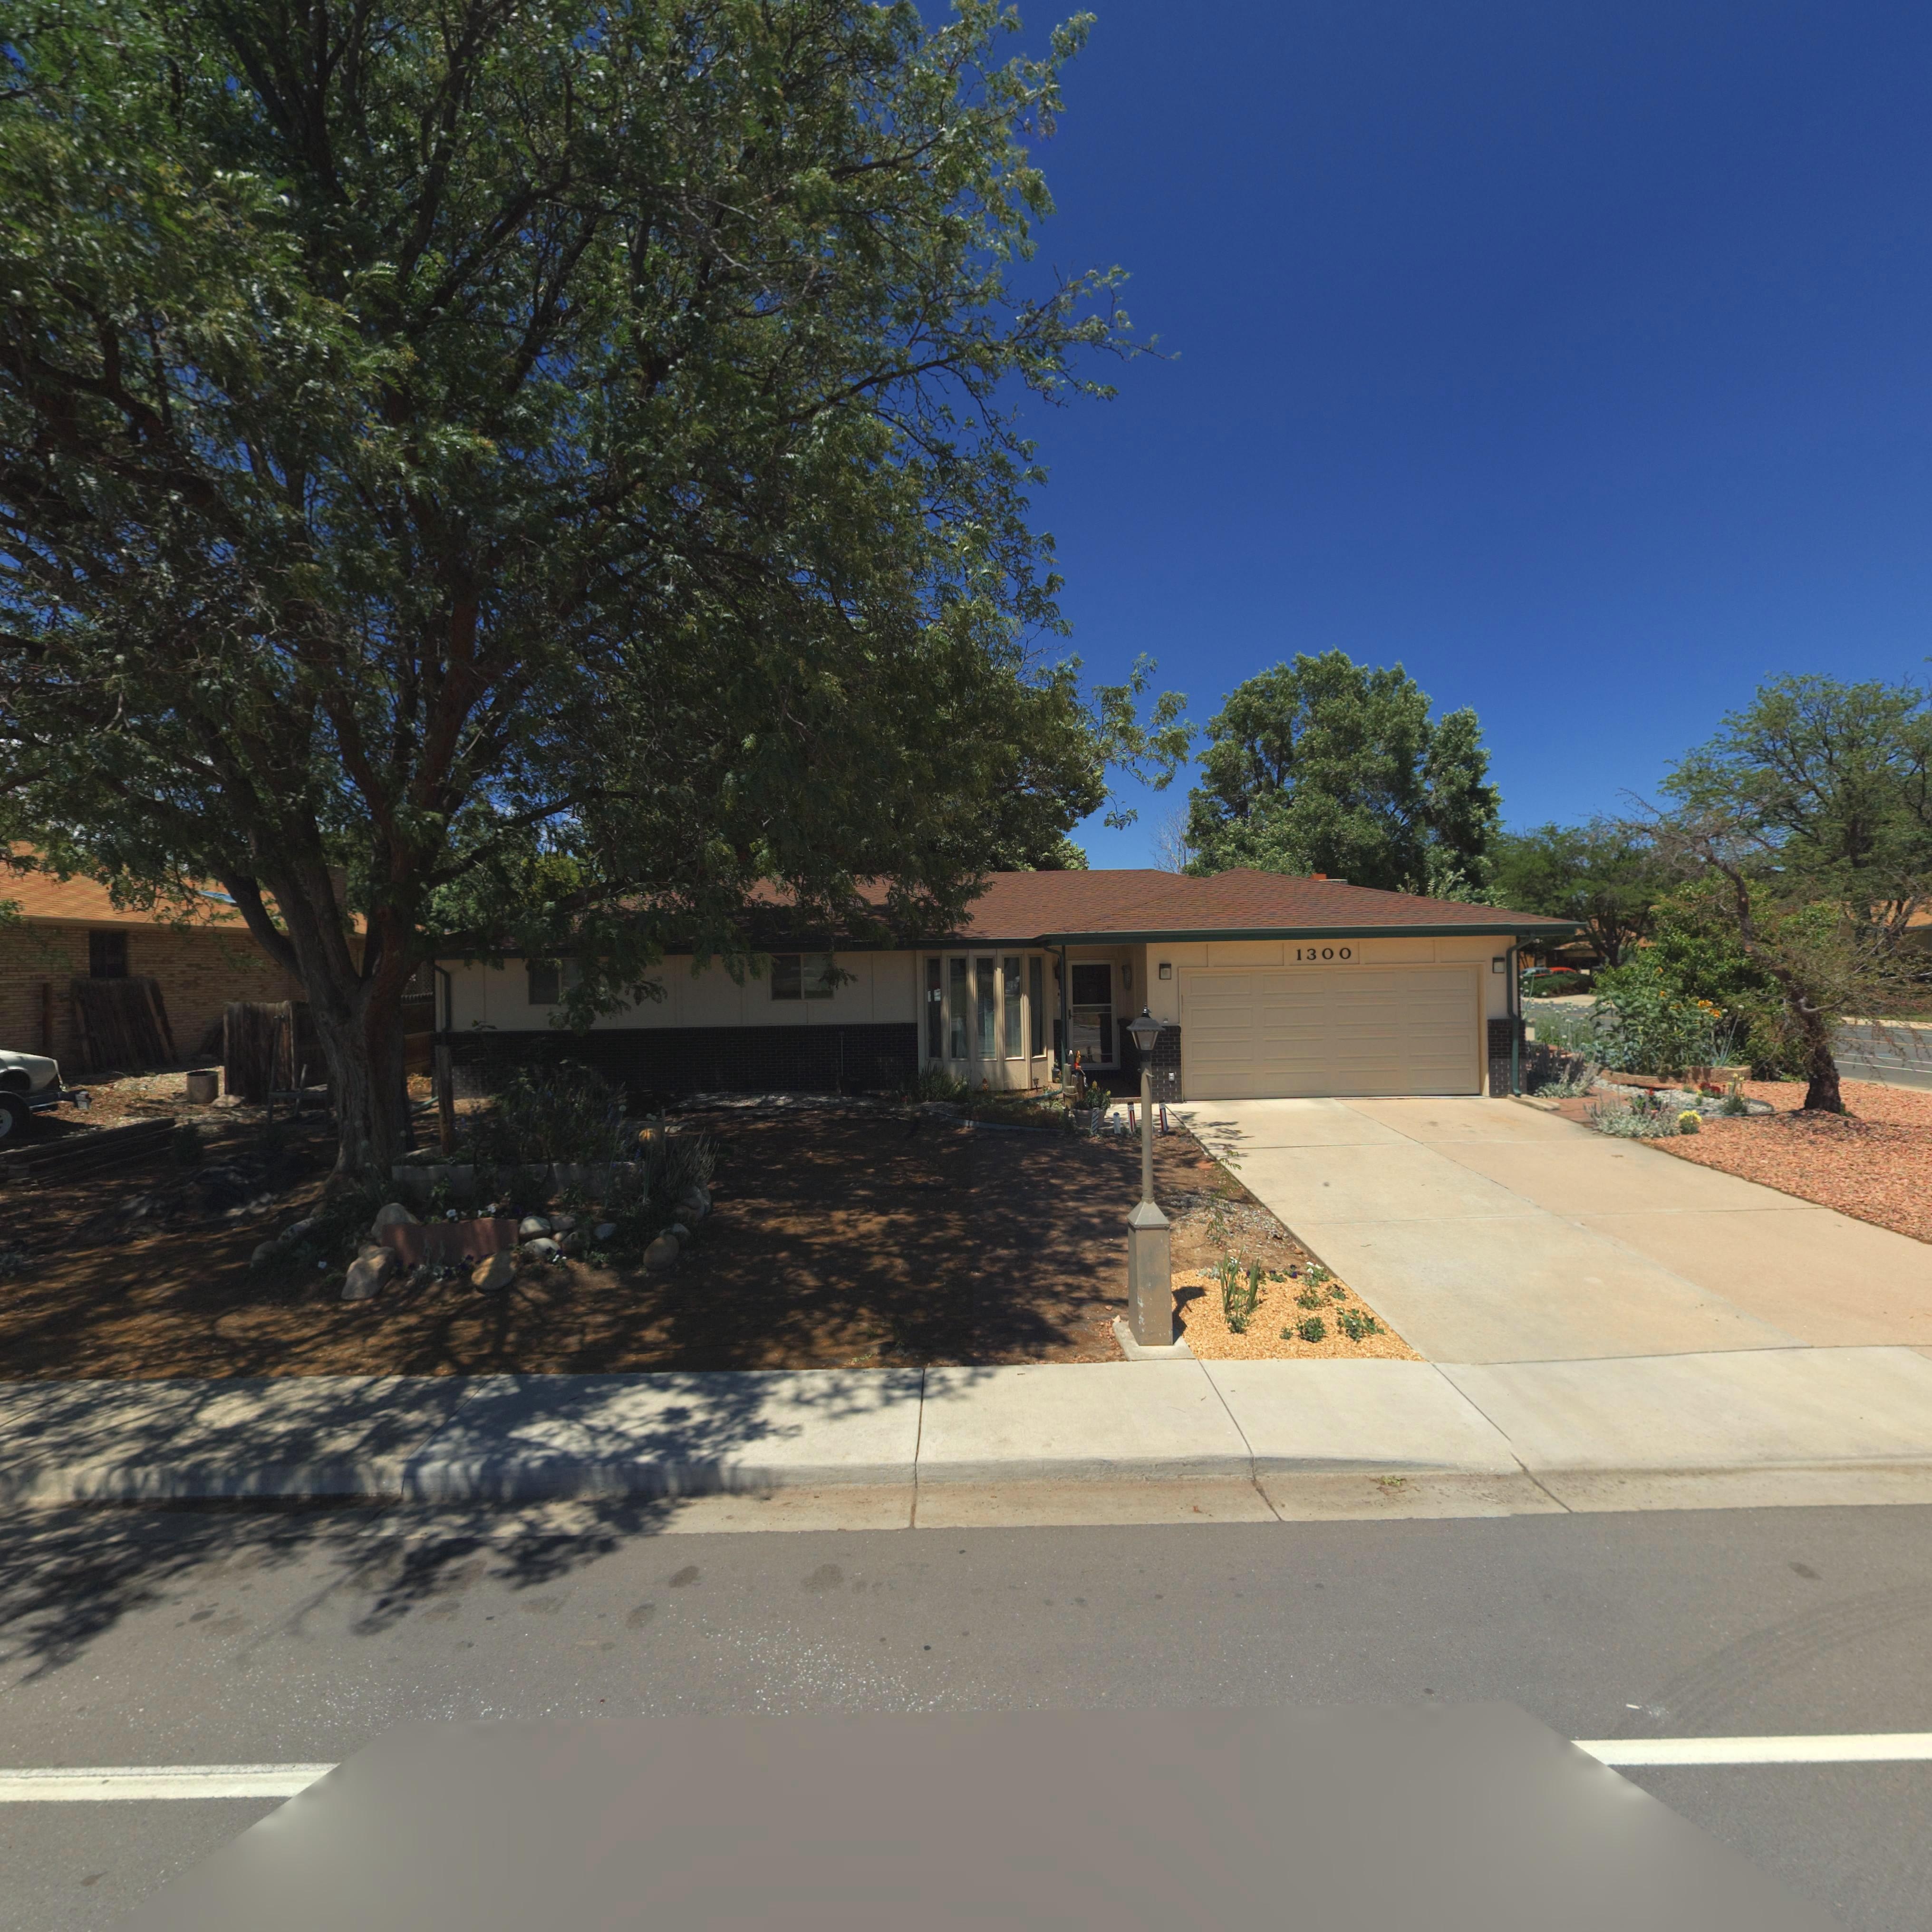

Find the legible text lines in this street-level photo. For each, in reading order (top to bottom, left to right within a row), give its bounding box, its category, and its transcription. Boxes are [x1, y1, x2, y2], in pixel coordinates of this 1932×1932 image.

[1296, 947, 1352, 960] StreetNumber: 1300